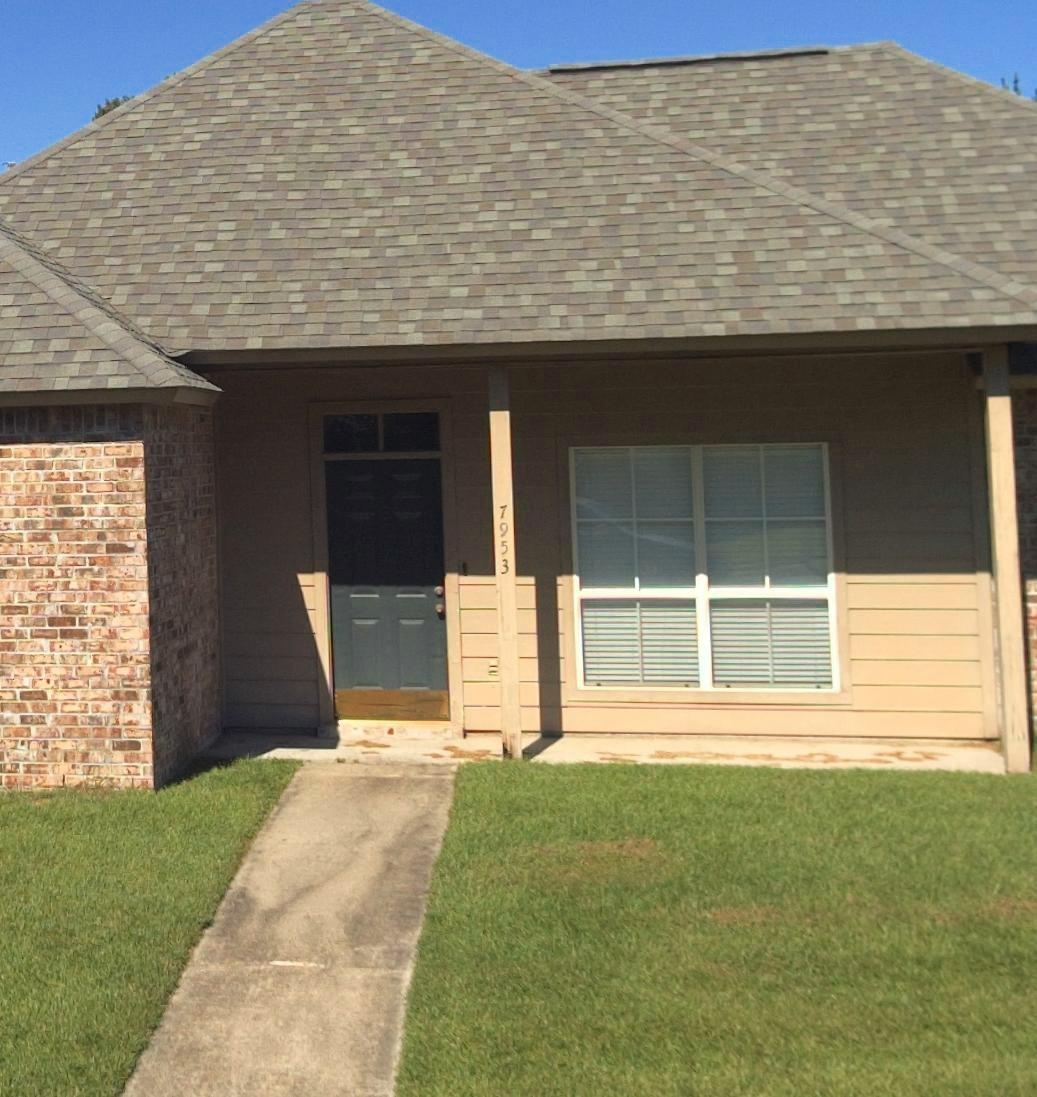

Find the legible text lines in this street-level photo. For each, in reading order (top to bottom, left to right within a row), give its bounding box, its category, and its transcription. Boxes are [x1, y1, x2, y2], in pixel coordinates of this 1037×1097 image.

[497, 503, 512, 577] StreetNumber: 7953